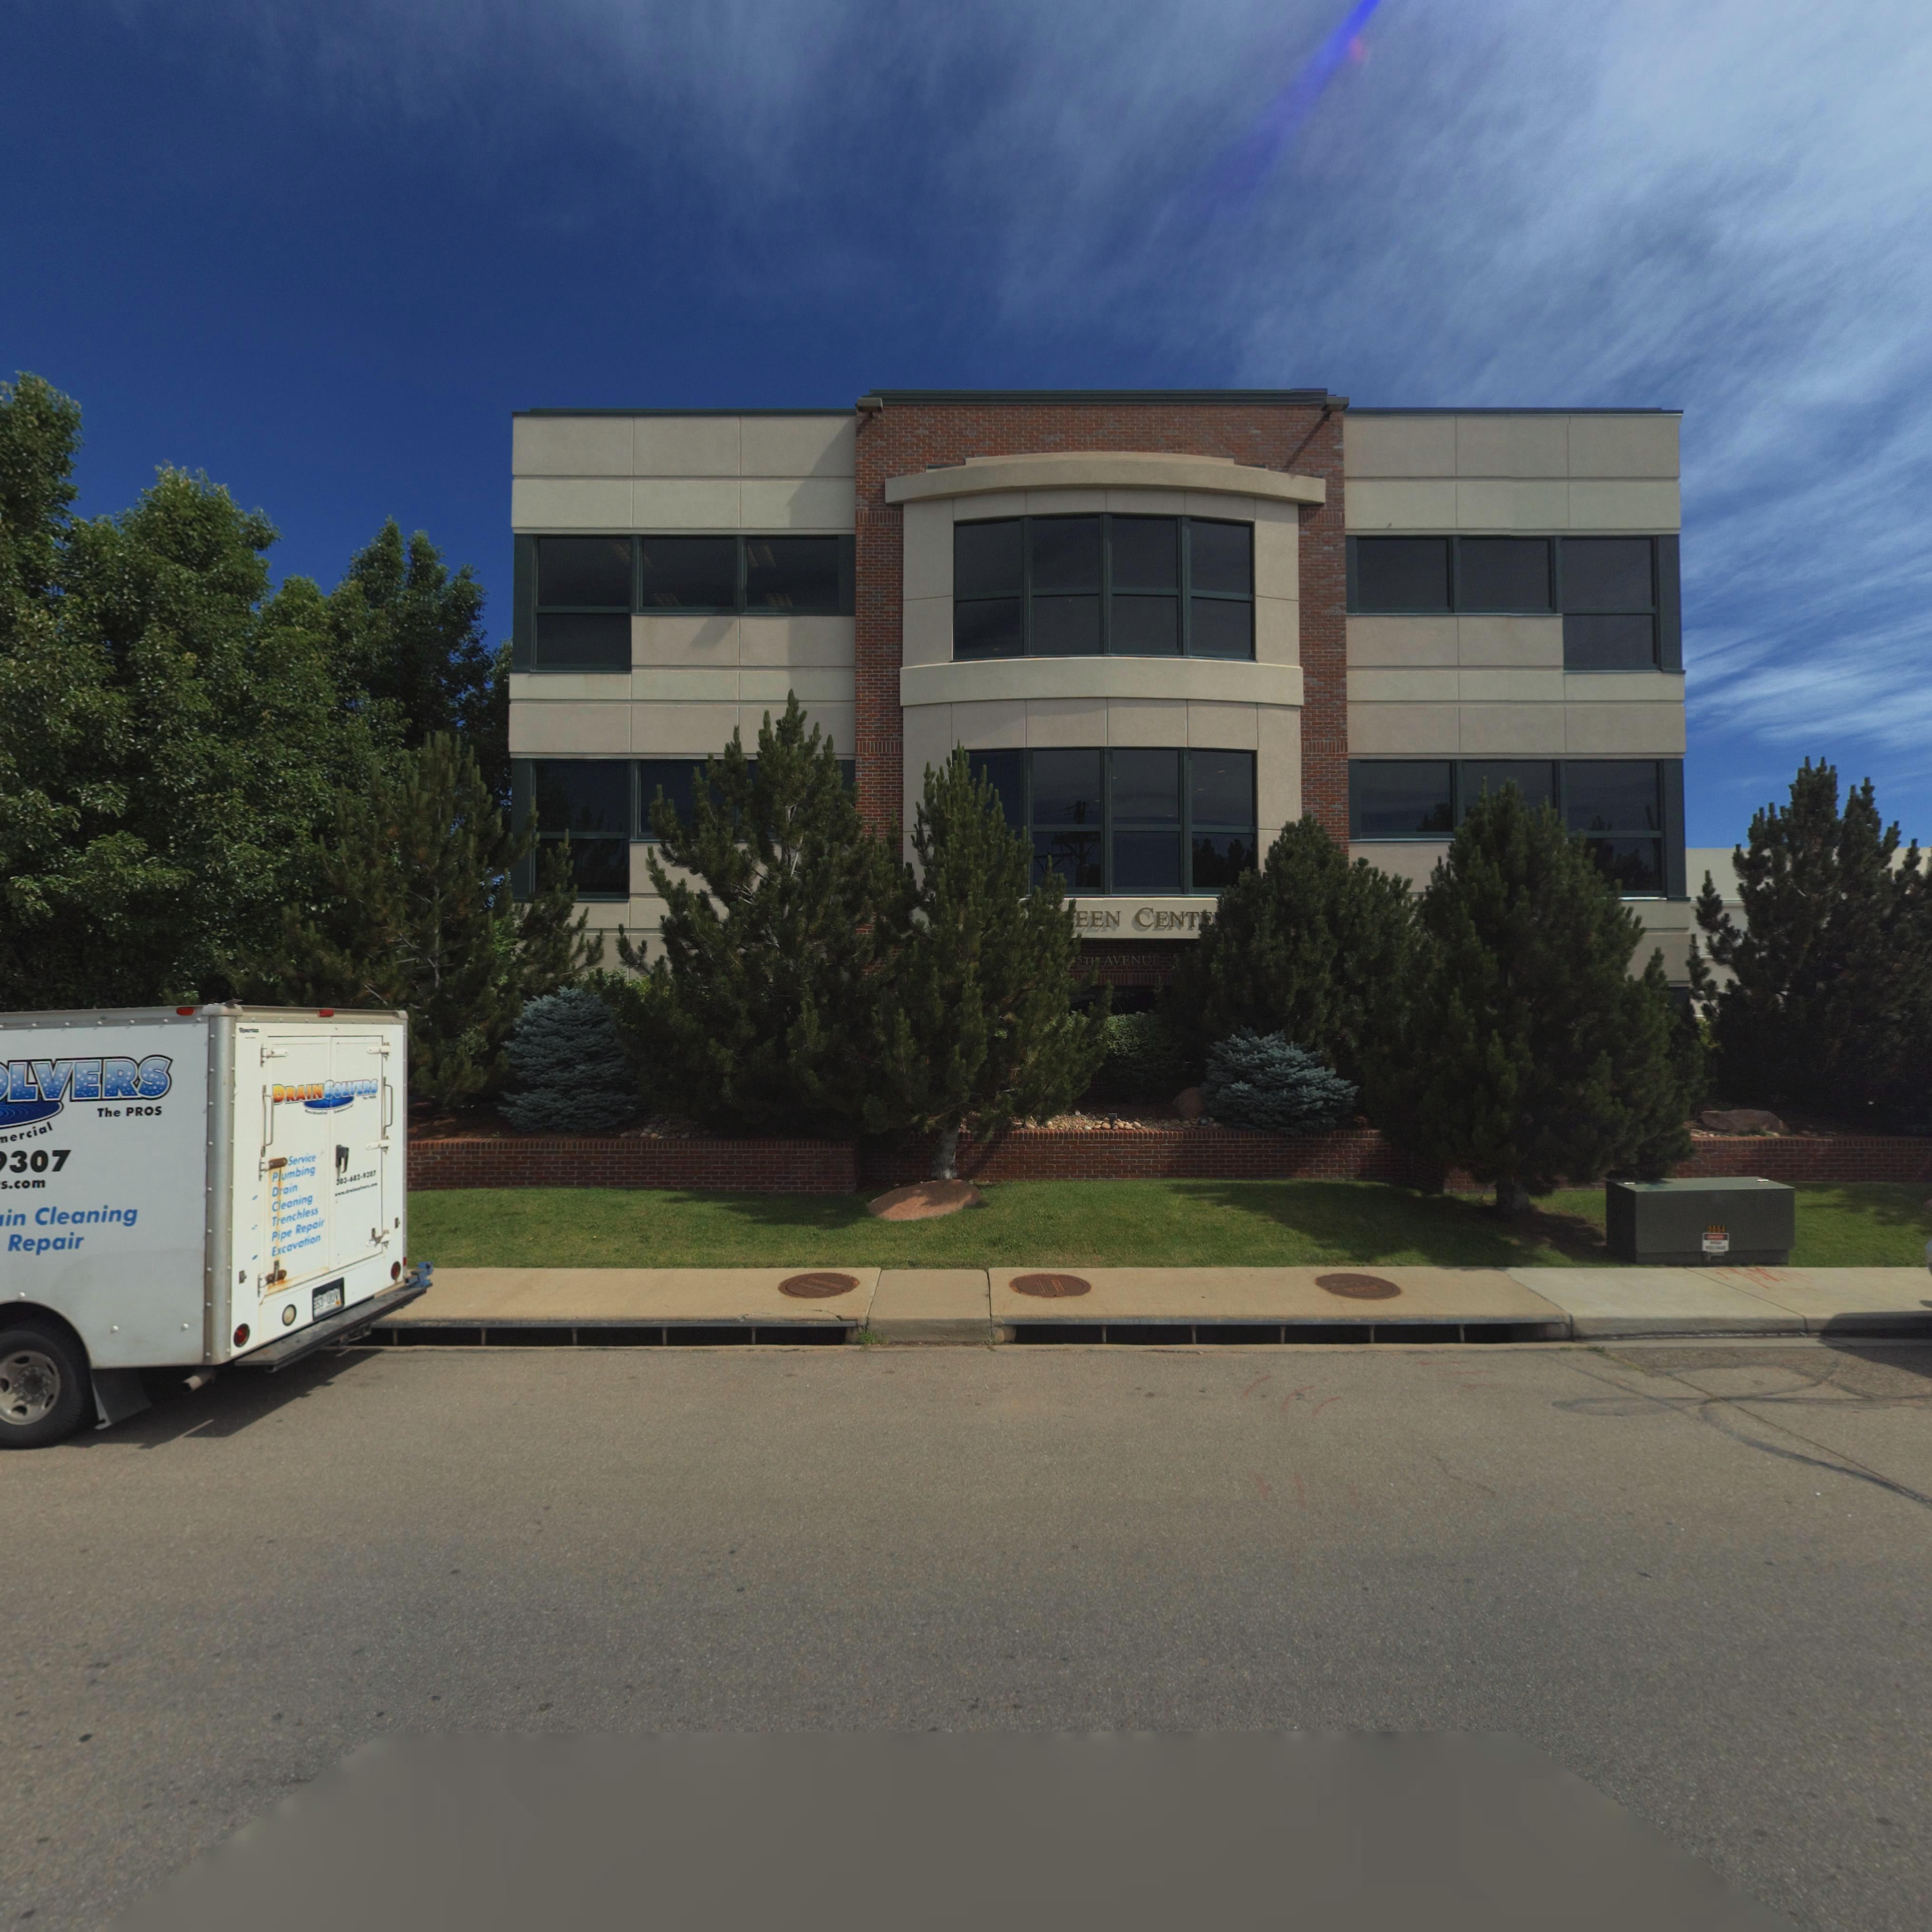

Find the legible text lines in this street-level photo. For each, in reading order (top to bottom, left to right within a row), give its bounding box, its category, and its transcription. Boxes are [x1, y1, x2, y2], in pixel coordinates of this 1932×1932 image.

[1071, 954, 1160, 966] StreetName: *5T* AVENUE